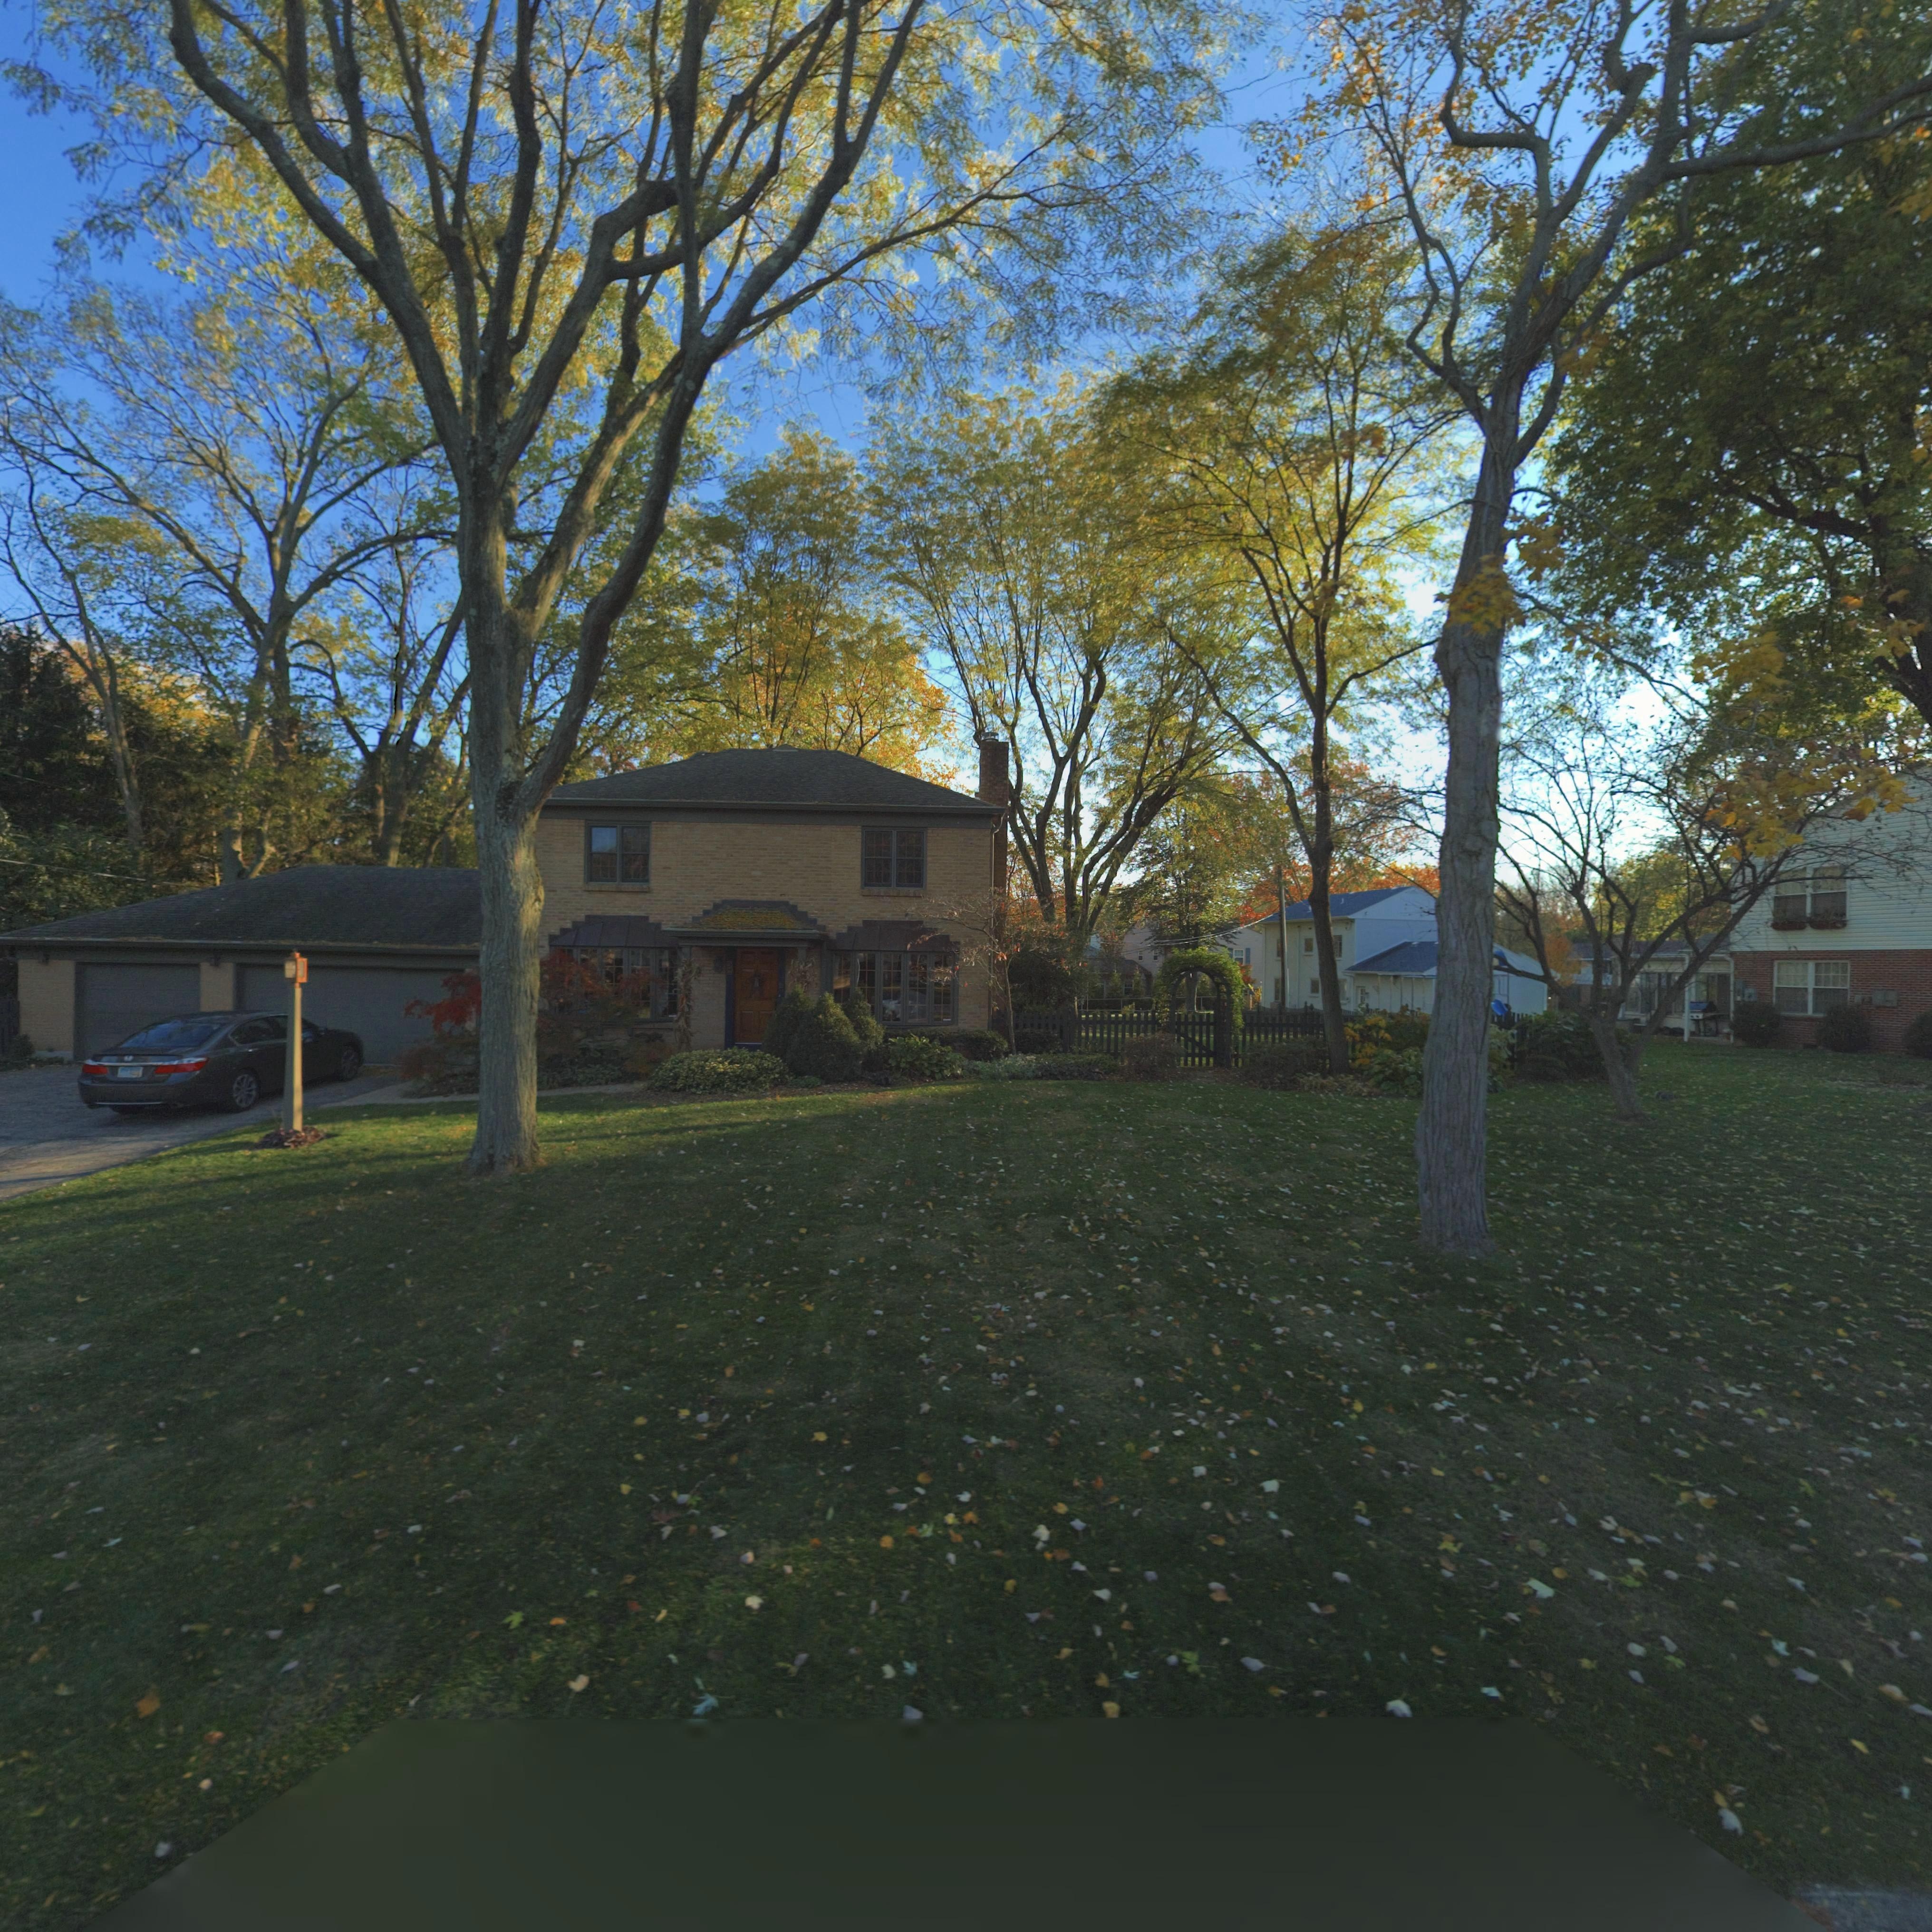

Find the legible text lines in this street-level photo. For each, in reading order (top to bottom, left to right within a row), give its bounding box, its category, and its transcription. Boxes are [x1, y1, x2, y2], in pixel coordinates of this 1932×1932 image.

[726, 961, 733, 967] StreetNumber: 5